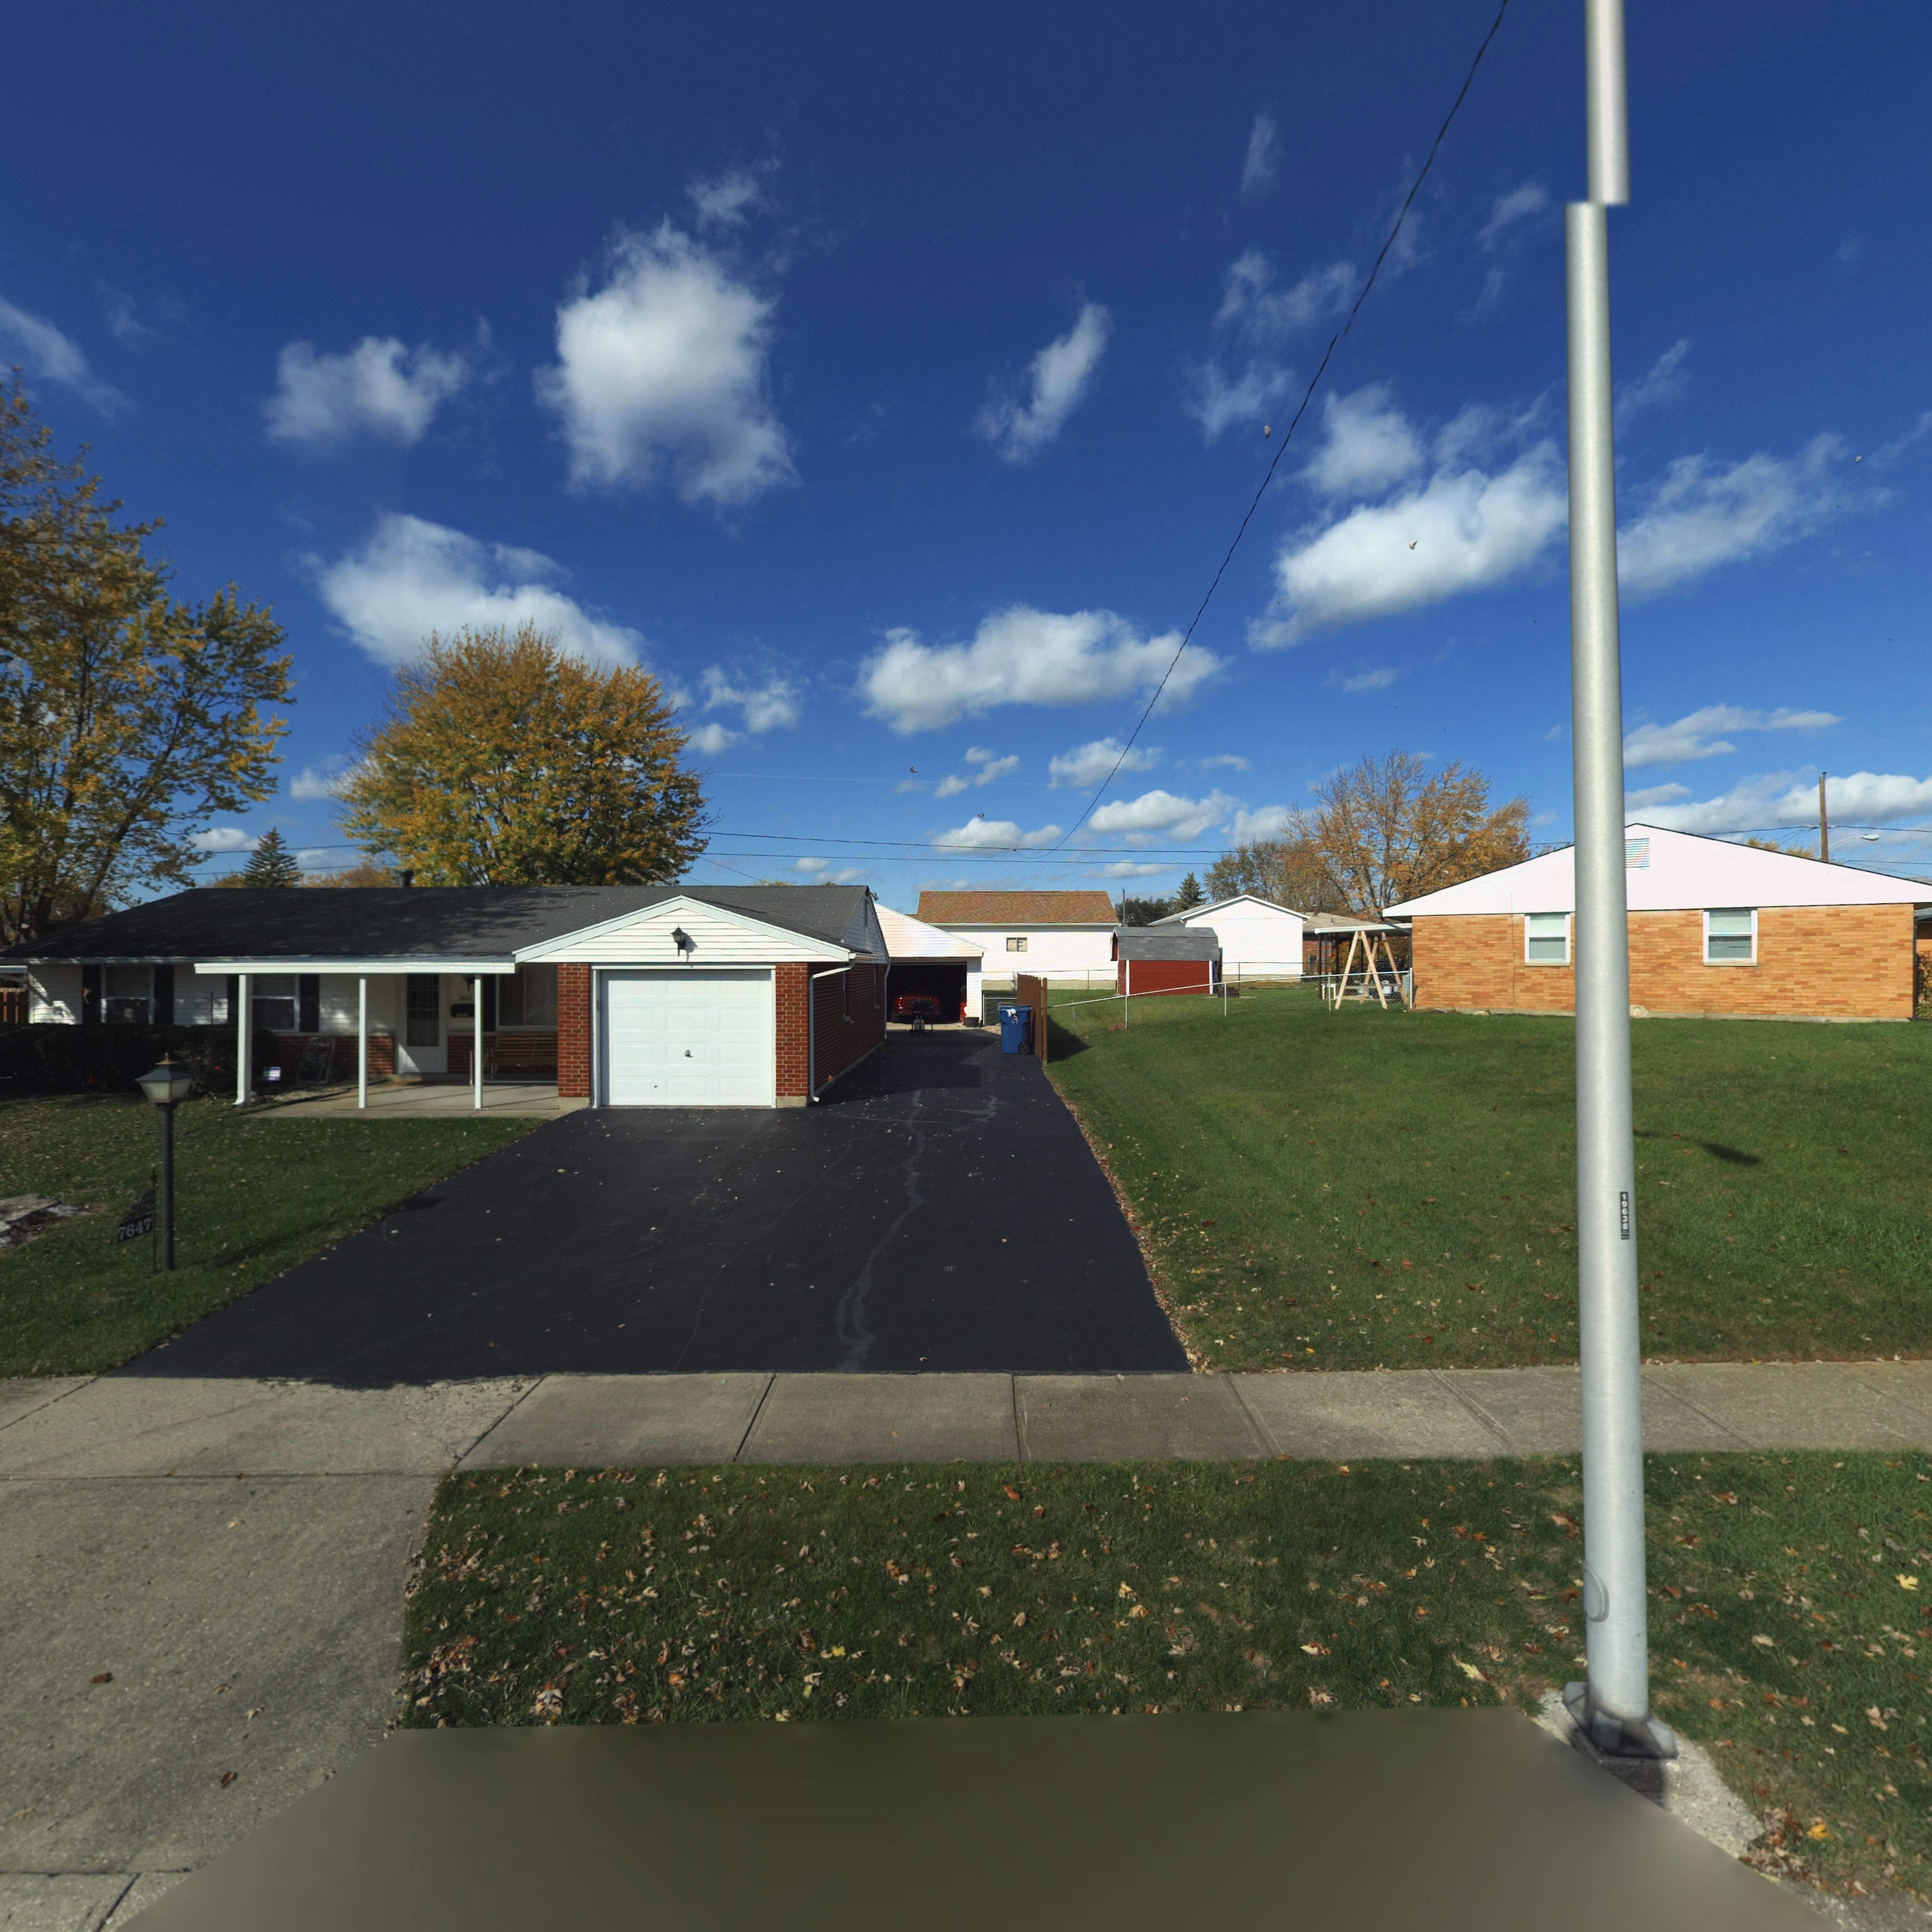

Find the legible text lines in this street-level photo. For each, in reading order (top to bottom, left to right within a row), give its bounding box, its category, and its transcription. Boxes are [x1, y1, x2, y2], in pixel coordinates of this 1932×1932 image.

[457, 995, 474, 1001] StreetNumber: 7647
[116, 1217, 152, 1241] StreetNumber: 7647